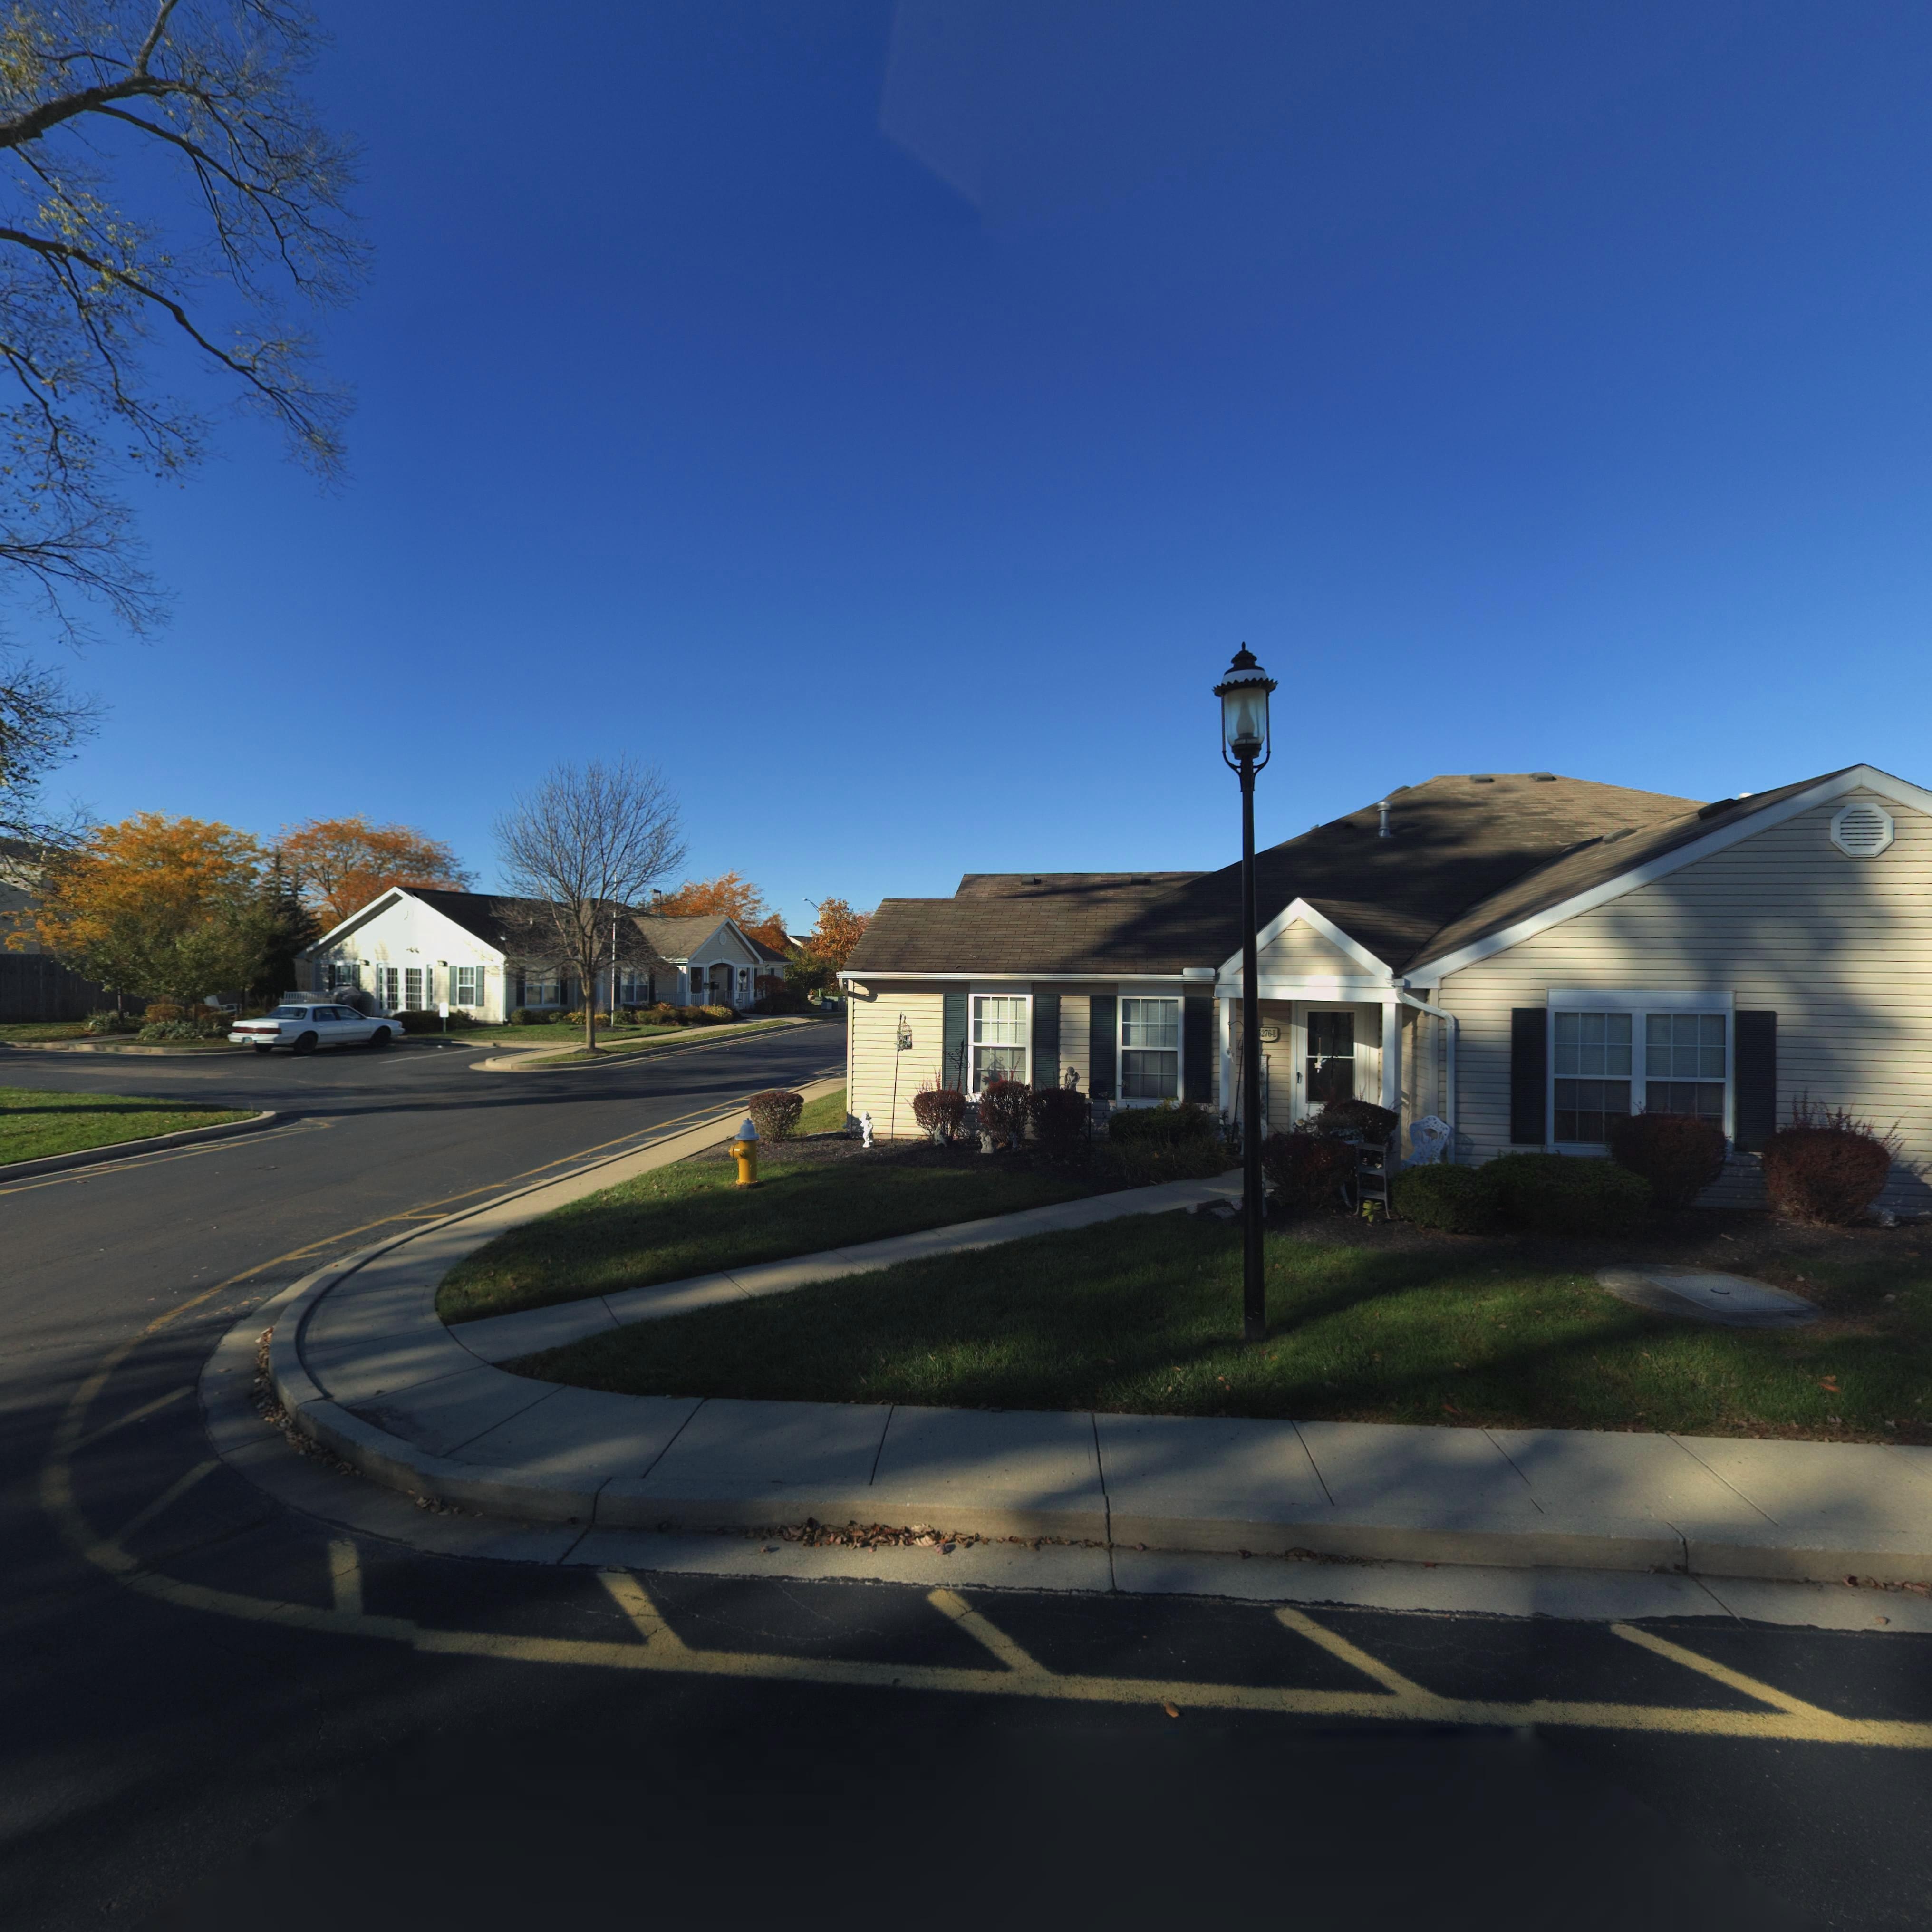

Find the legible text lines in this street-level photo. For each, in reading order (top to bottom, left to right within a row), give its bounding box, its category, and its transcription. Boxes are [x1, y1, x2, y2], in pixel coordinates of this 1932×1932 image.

[1260, 1028, 1277, 1038] StreetNumber: 276-L